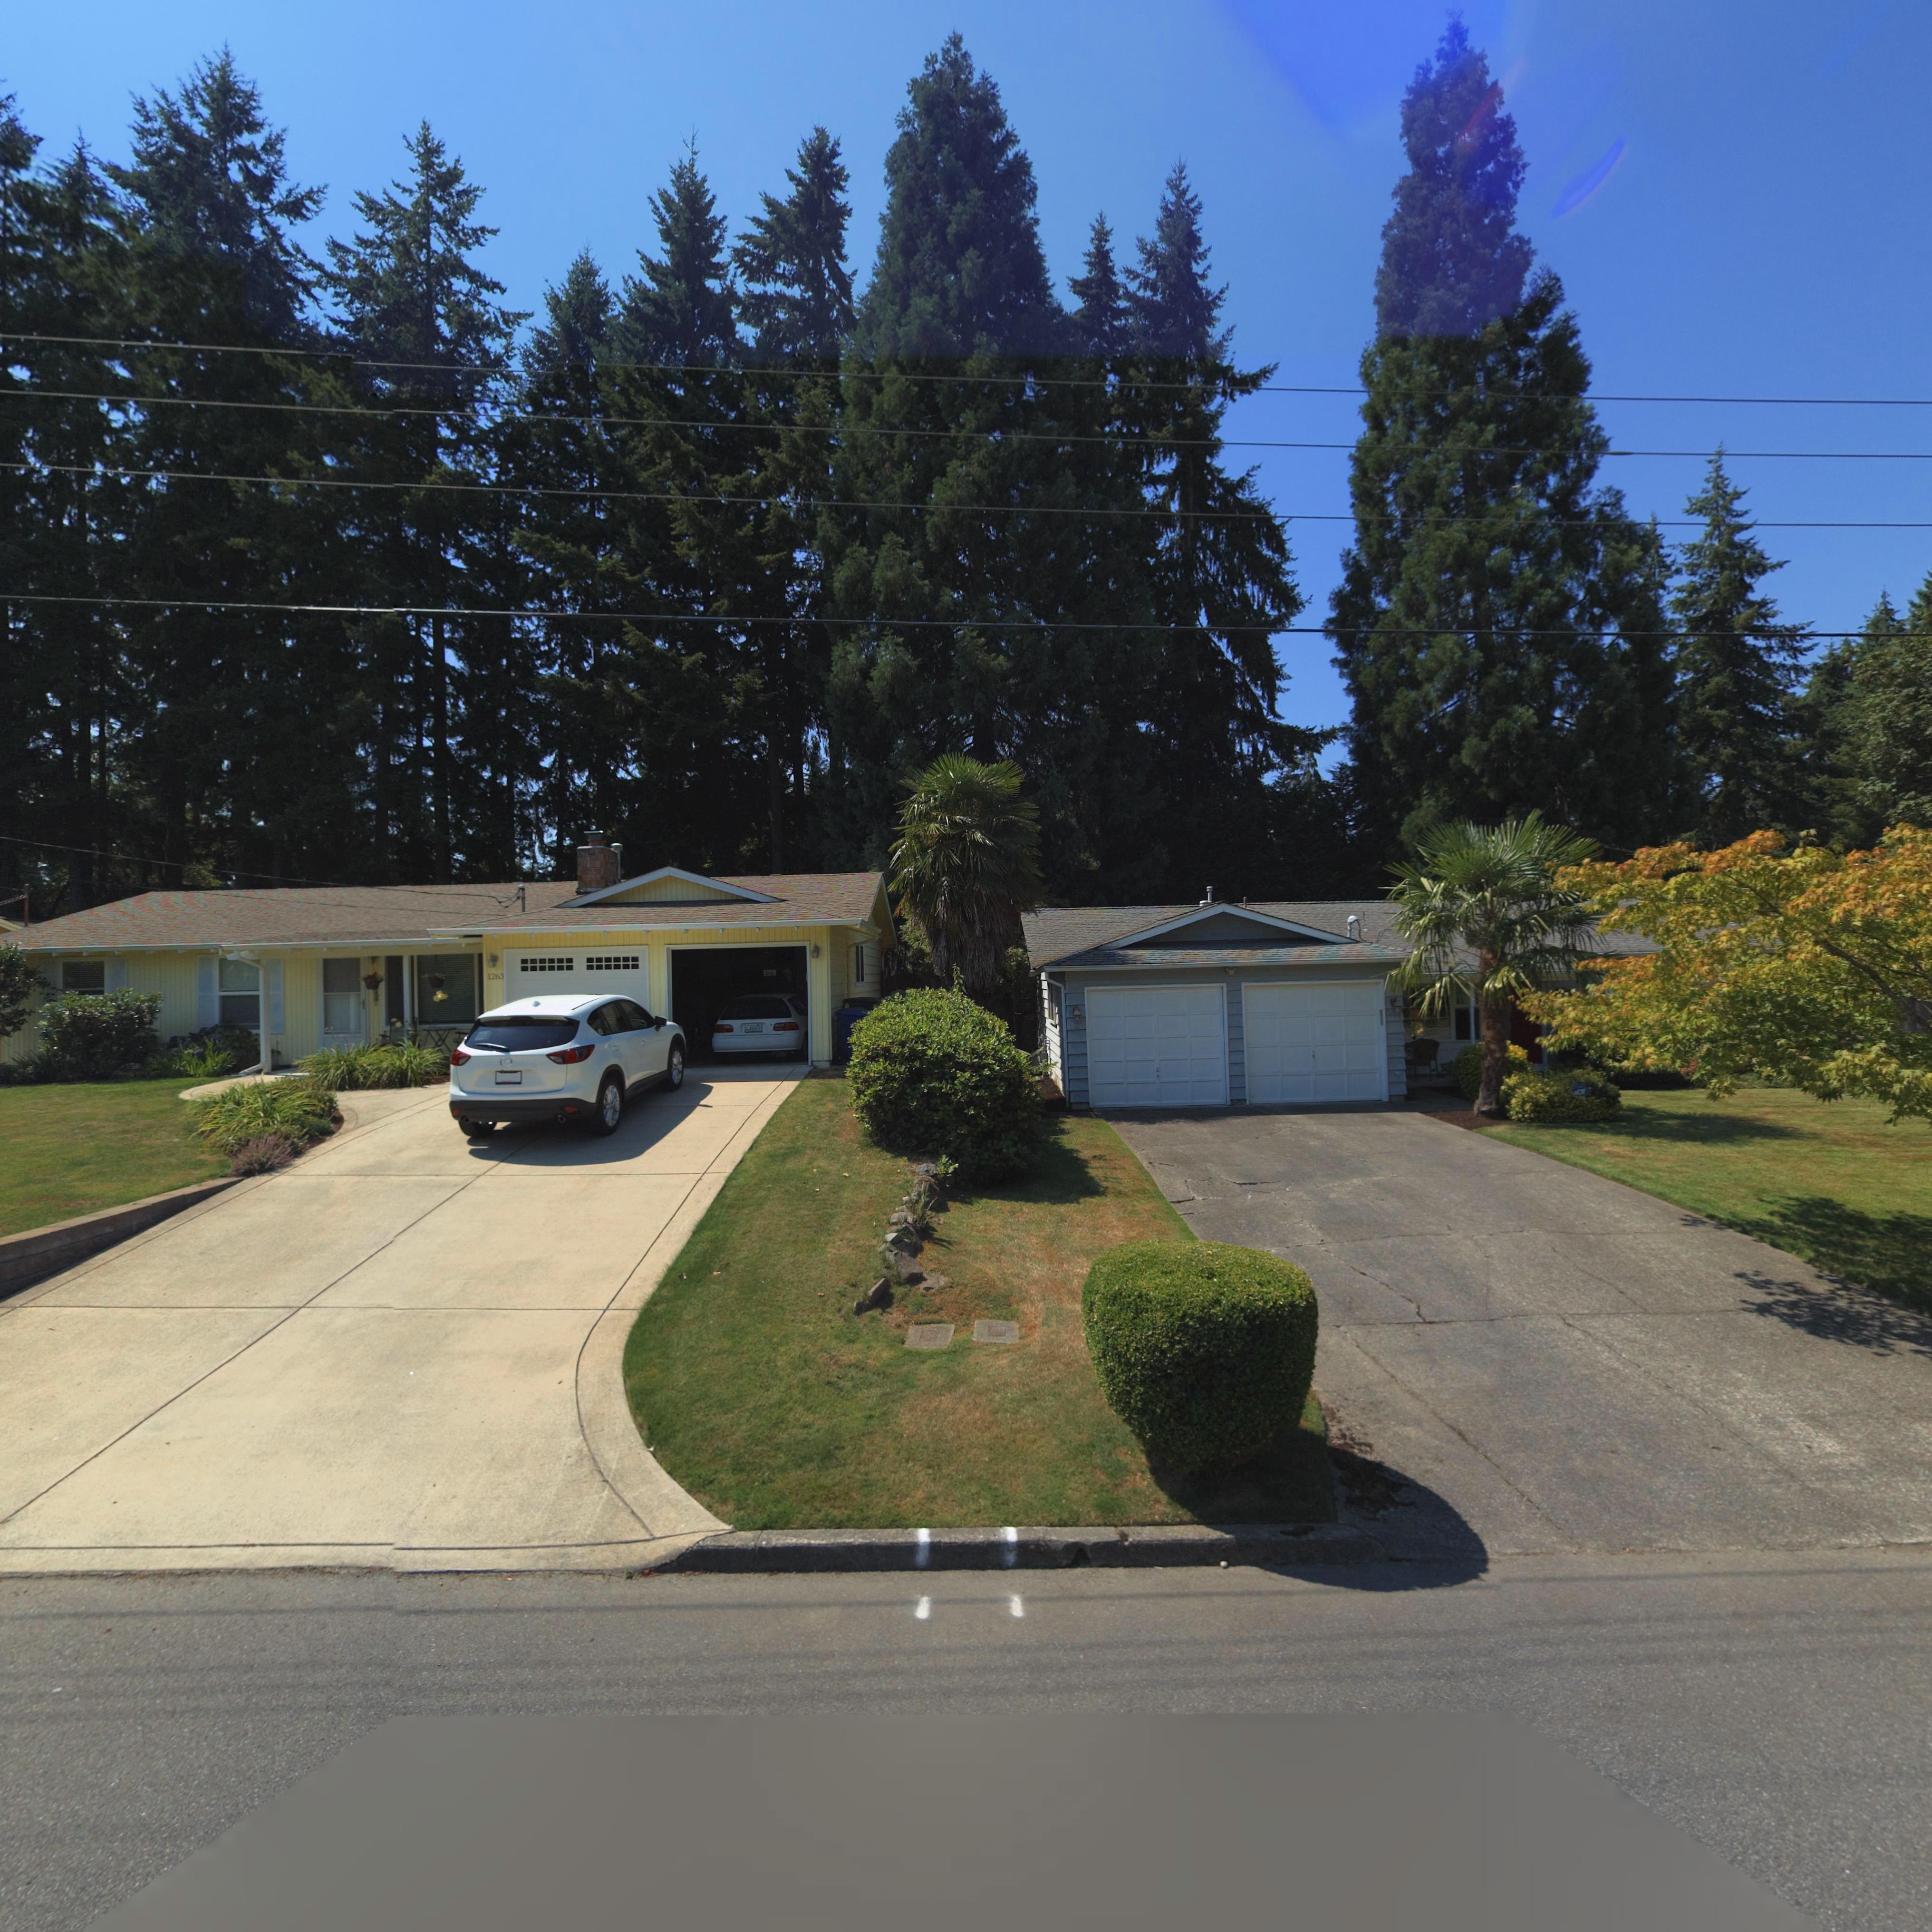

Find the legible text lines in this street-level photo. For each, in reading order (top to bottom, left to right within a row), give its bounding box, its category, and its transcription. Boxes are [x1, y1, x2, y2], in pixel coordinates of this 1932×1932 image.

[487, 972, 504, 980] StreetNumber: 1263
[1384, 1010, 1401, 1017] StreetNumber: 14**